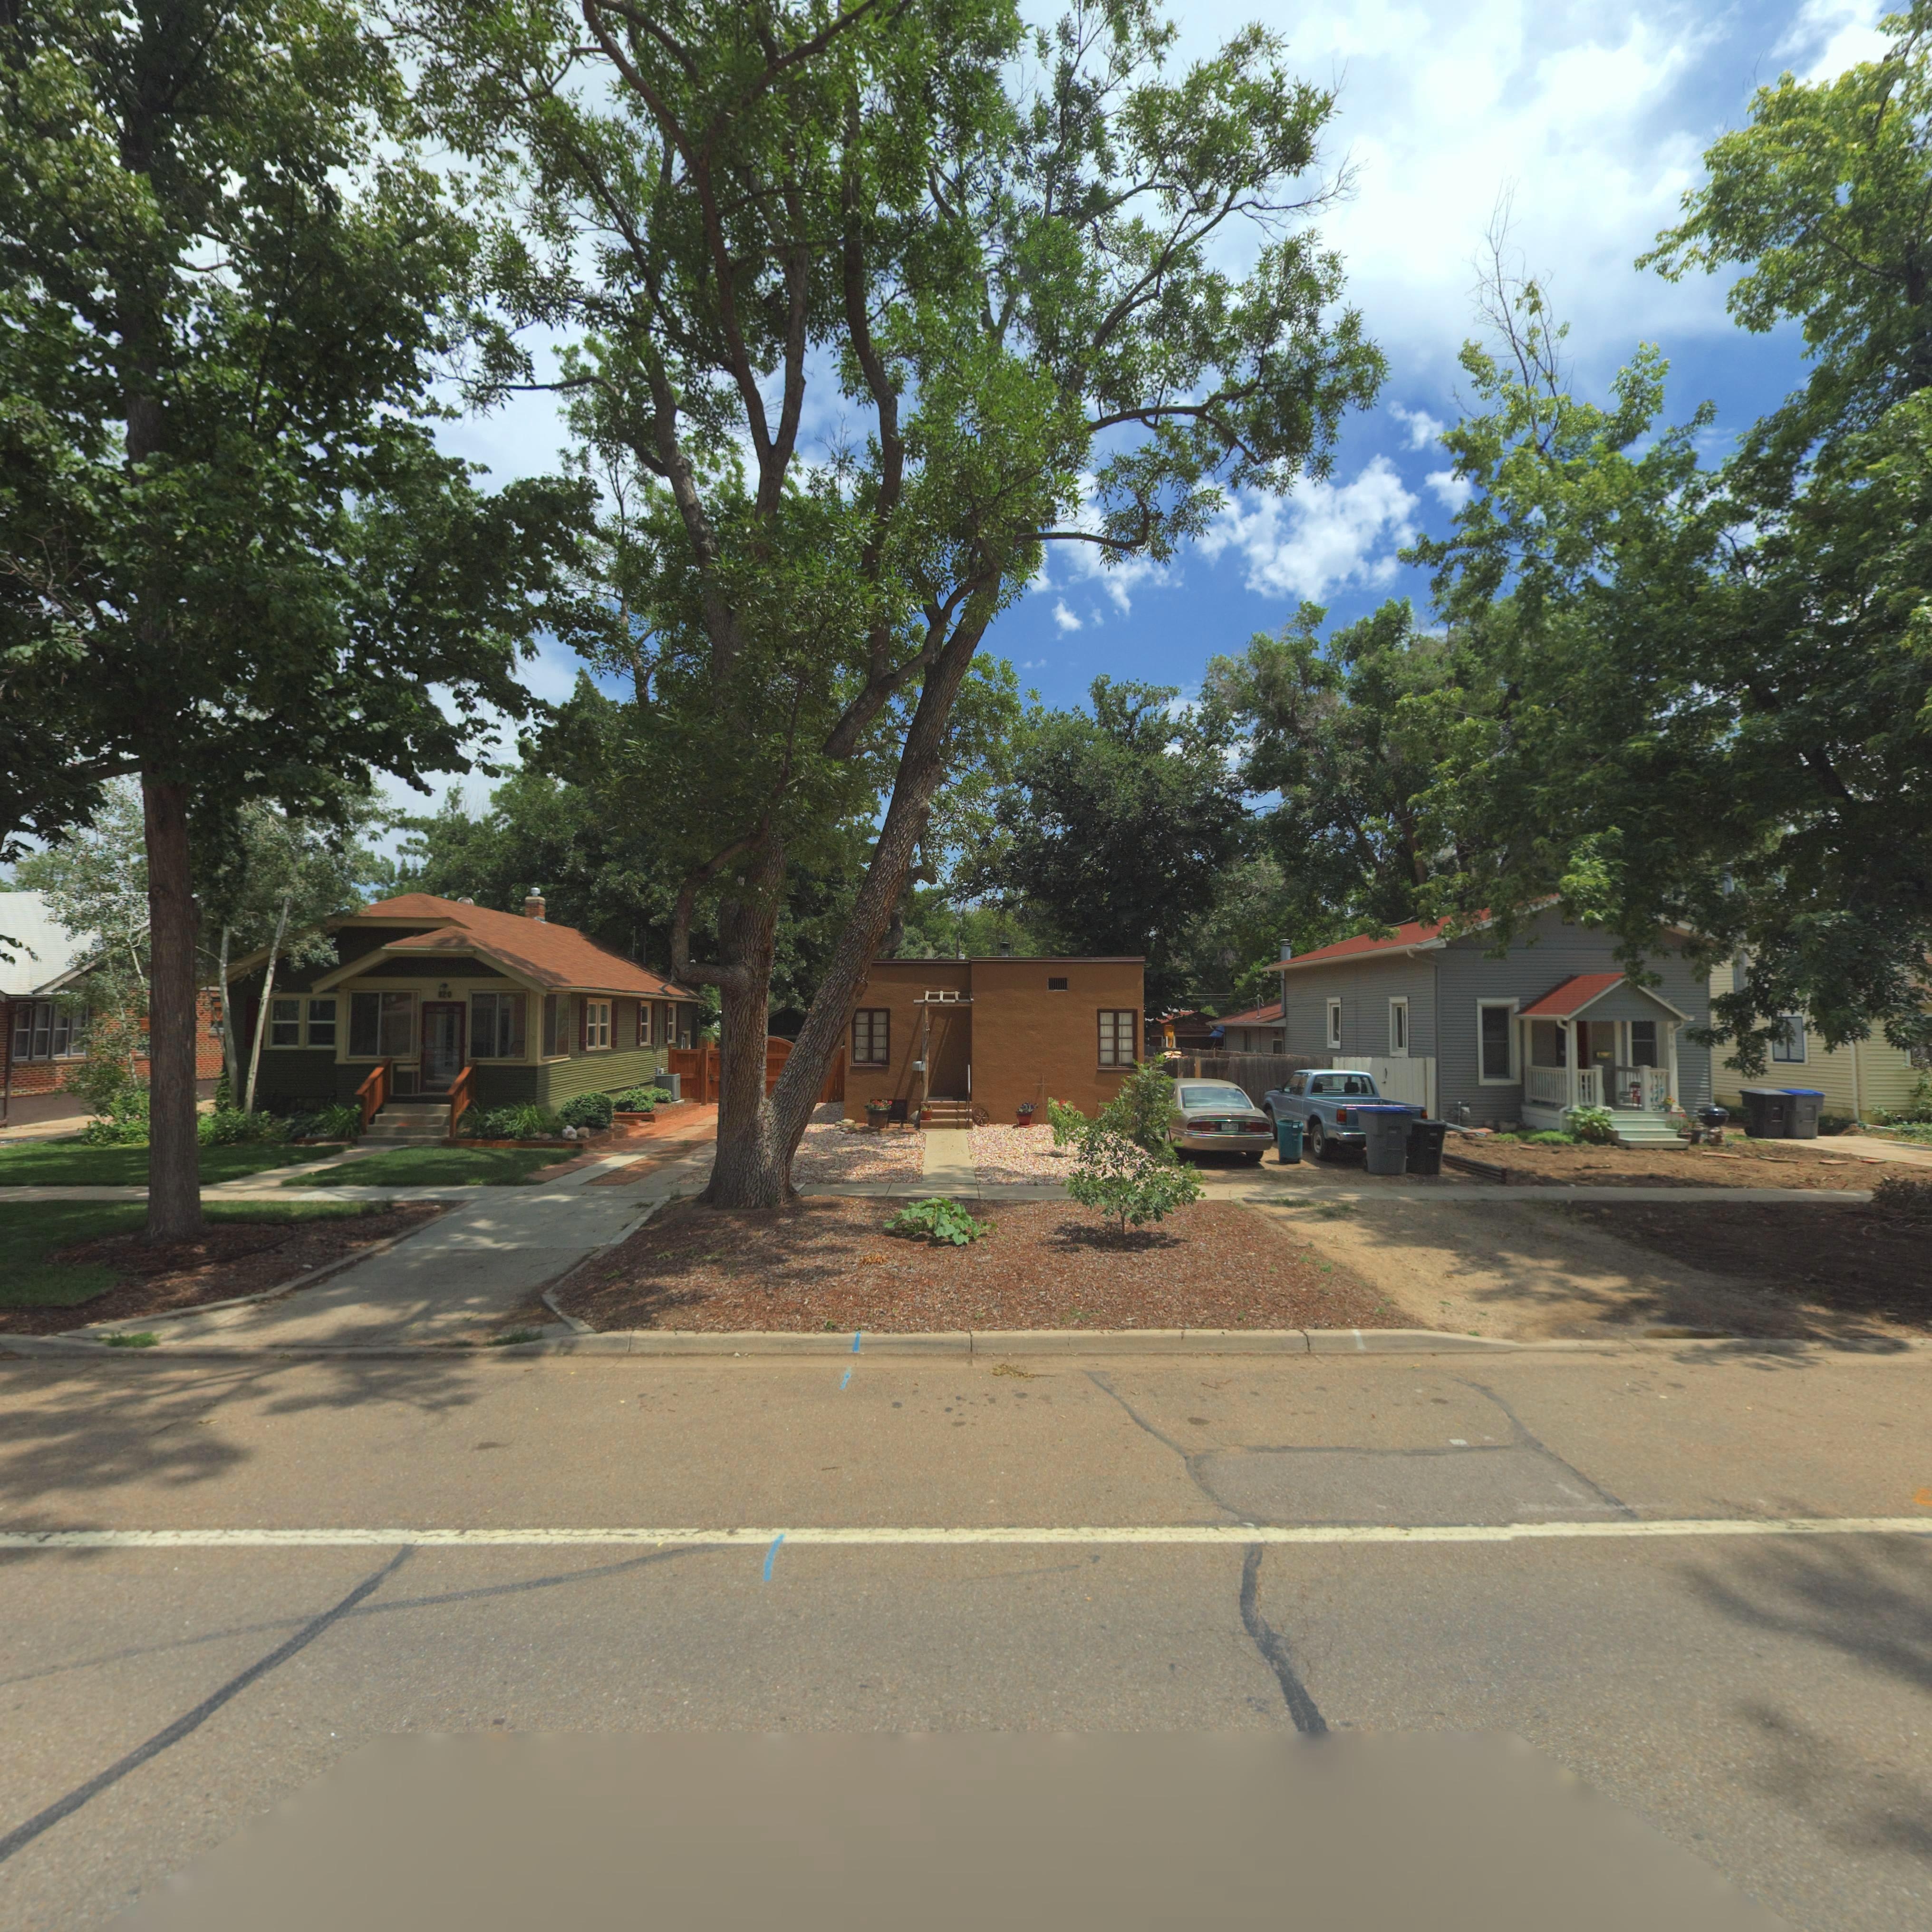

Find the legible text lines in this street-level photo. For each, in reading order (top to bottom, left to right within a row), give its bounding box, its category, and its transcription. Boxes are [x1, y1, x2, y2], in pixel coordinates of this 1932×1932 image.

[438, 991, 451, 998] StreetNumber: 820